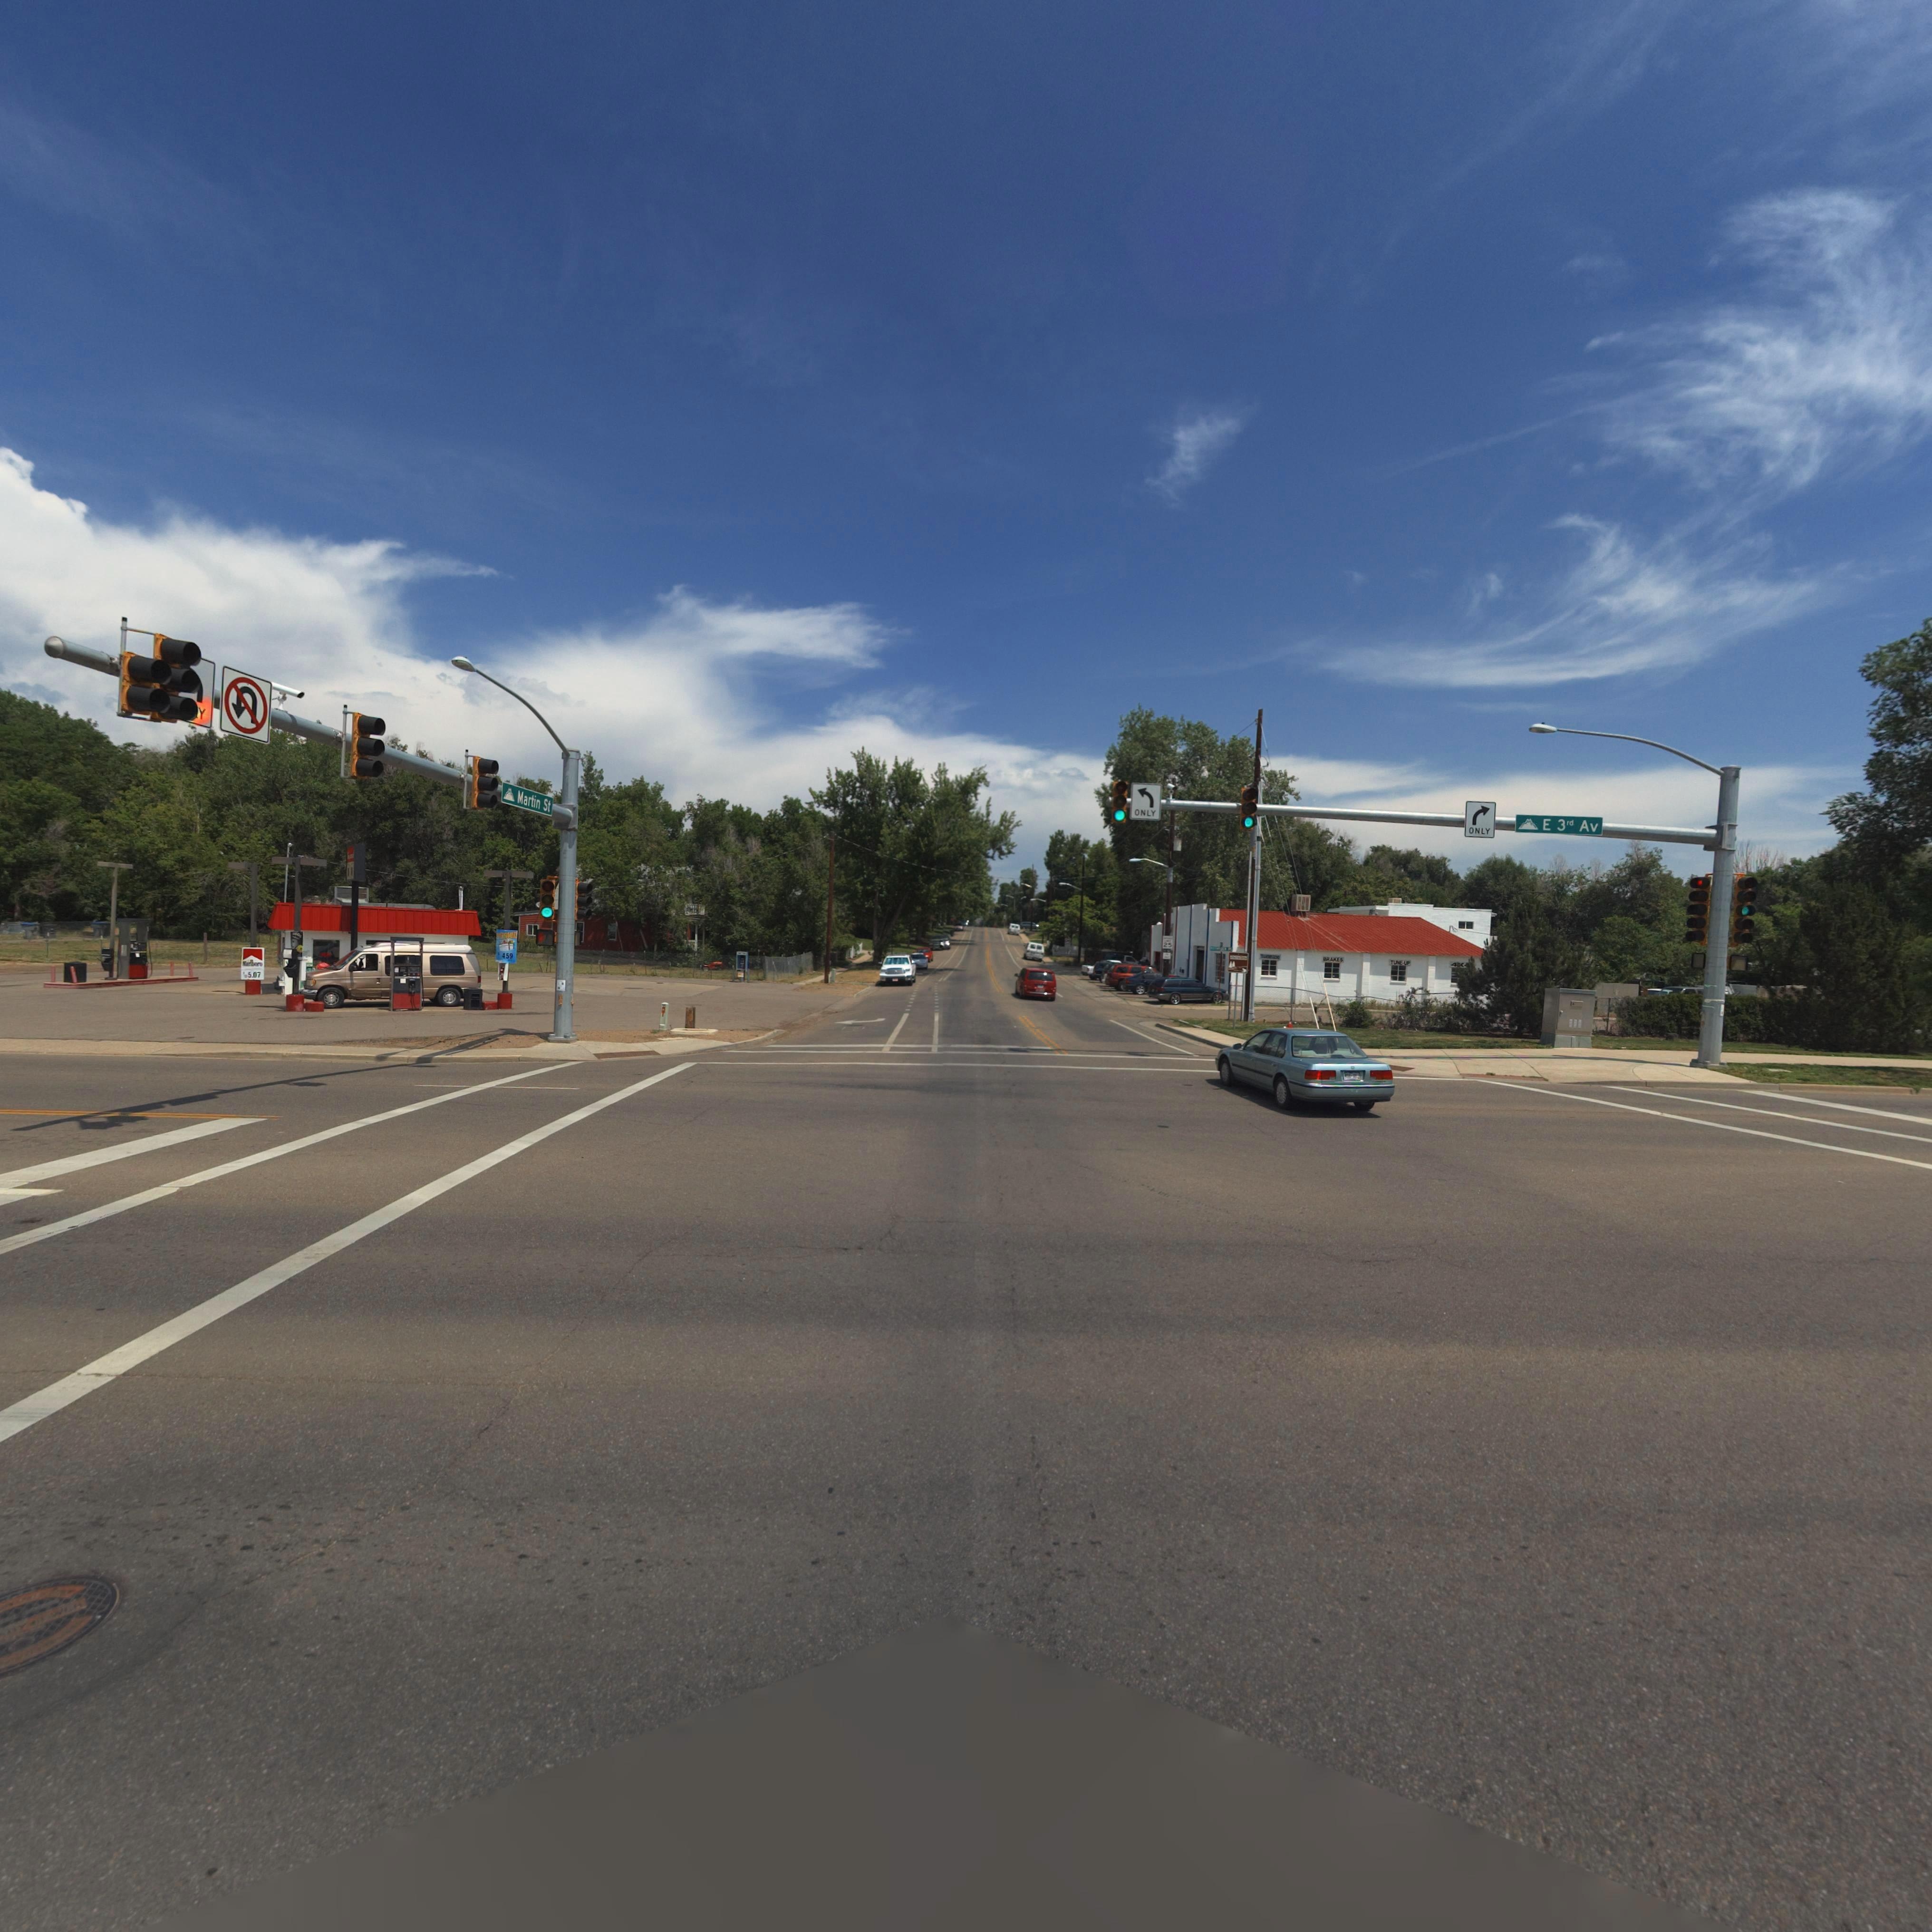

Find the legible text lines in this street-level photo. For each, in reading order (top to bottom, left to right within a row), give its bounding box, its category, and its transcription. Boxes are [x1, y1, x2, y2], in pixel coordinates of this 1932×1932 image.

[517, 789, 551, 812] StreetName: Martin St
[1543, 818, 1598, 832] StreetName: E 3rd Av
[346, 851, 354, 860] BusinessName: Gas*
[1210, 947, 1232, 951] StreetName: ROTHROCK PL